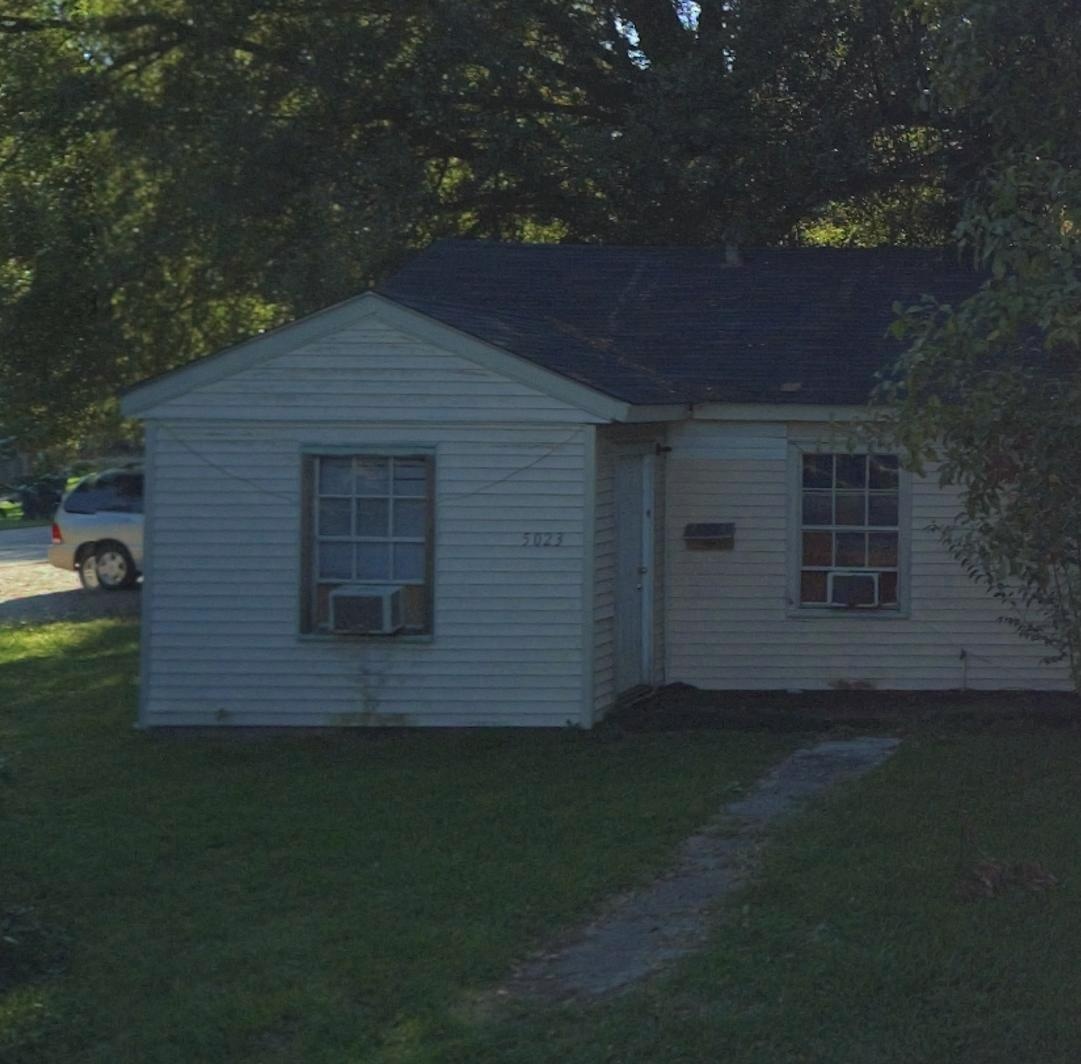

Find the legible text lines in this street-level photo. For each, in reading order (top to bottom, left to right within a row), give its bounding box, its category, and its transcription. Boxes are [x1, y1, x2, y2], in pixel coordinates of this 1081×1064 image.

[520, 531, 563, 548] StreetNumber: 5023